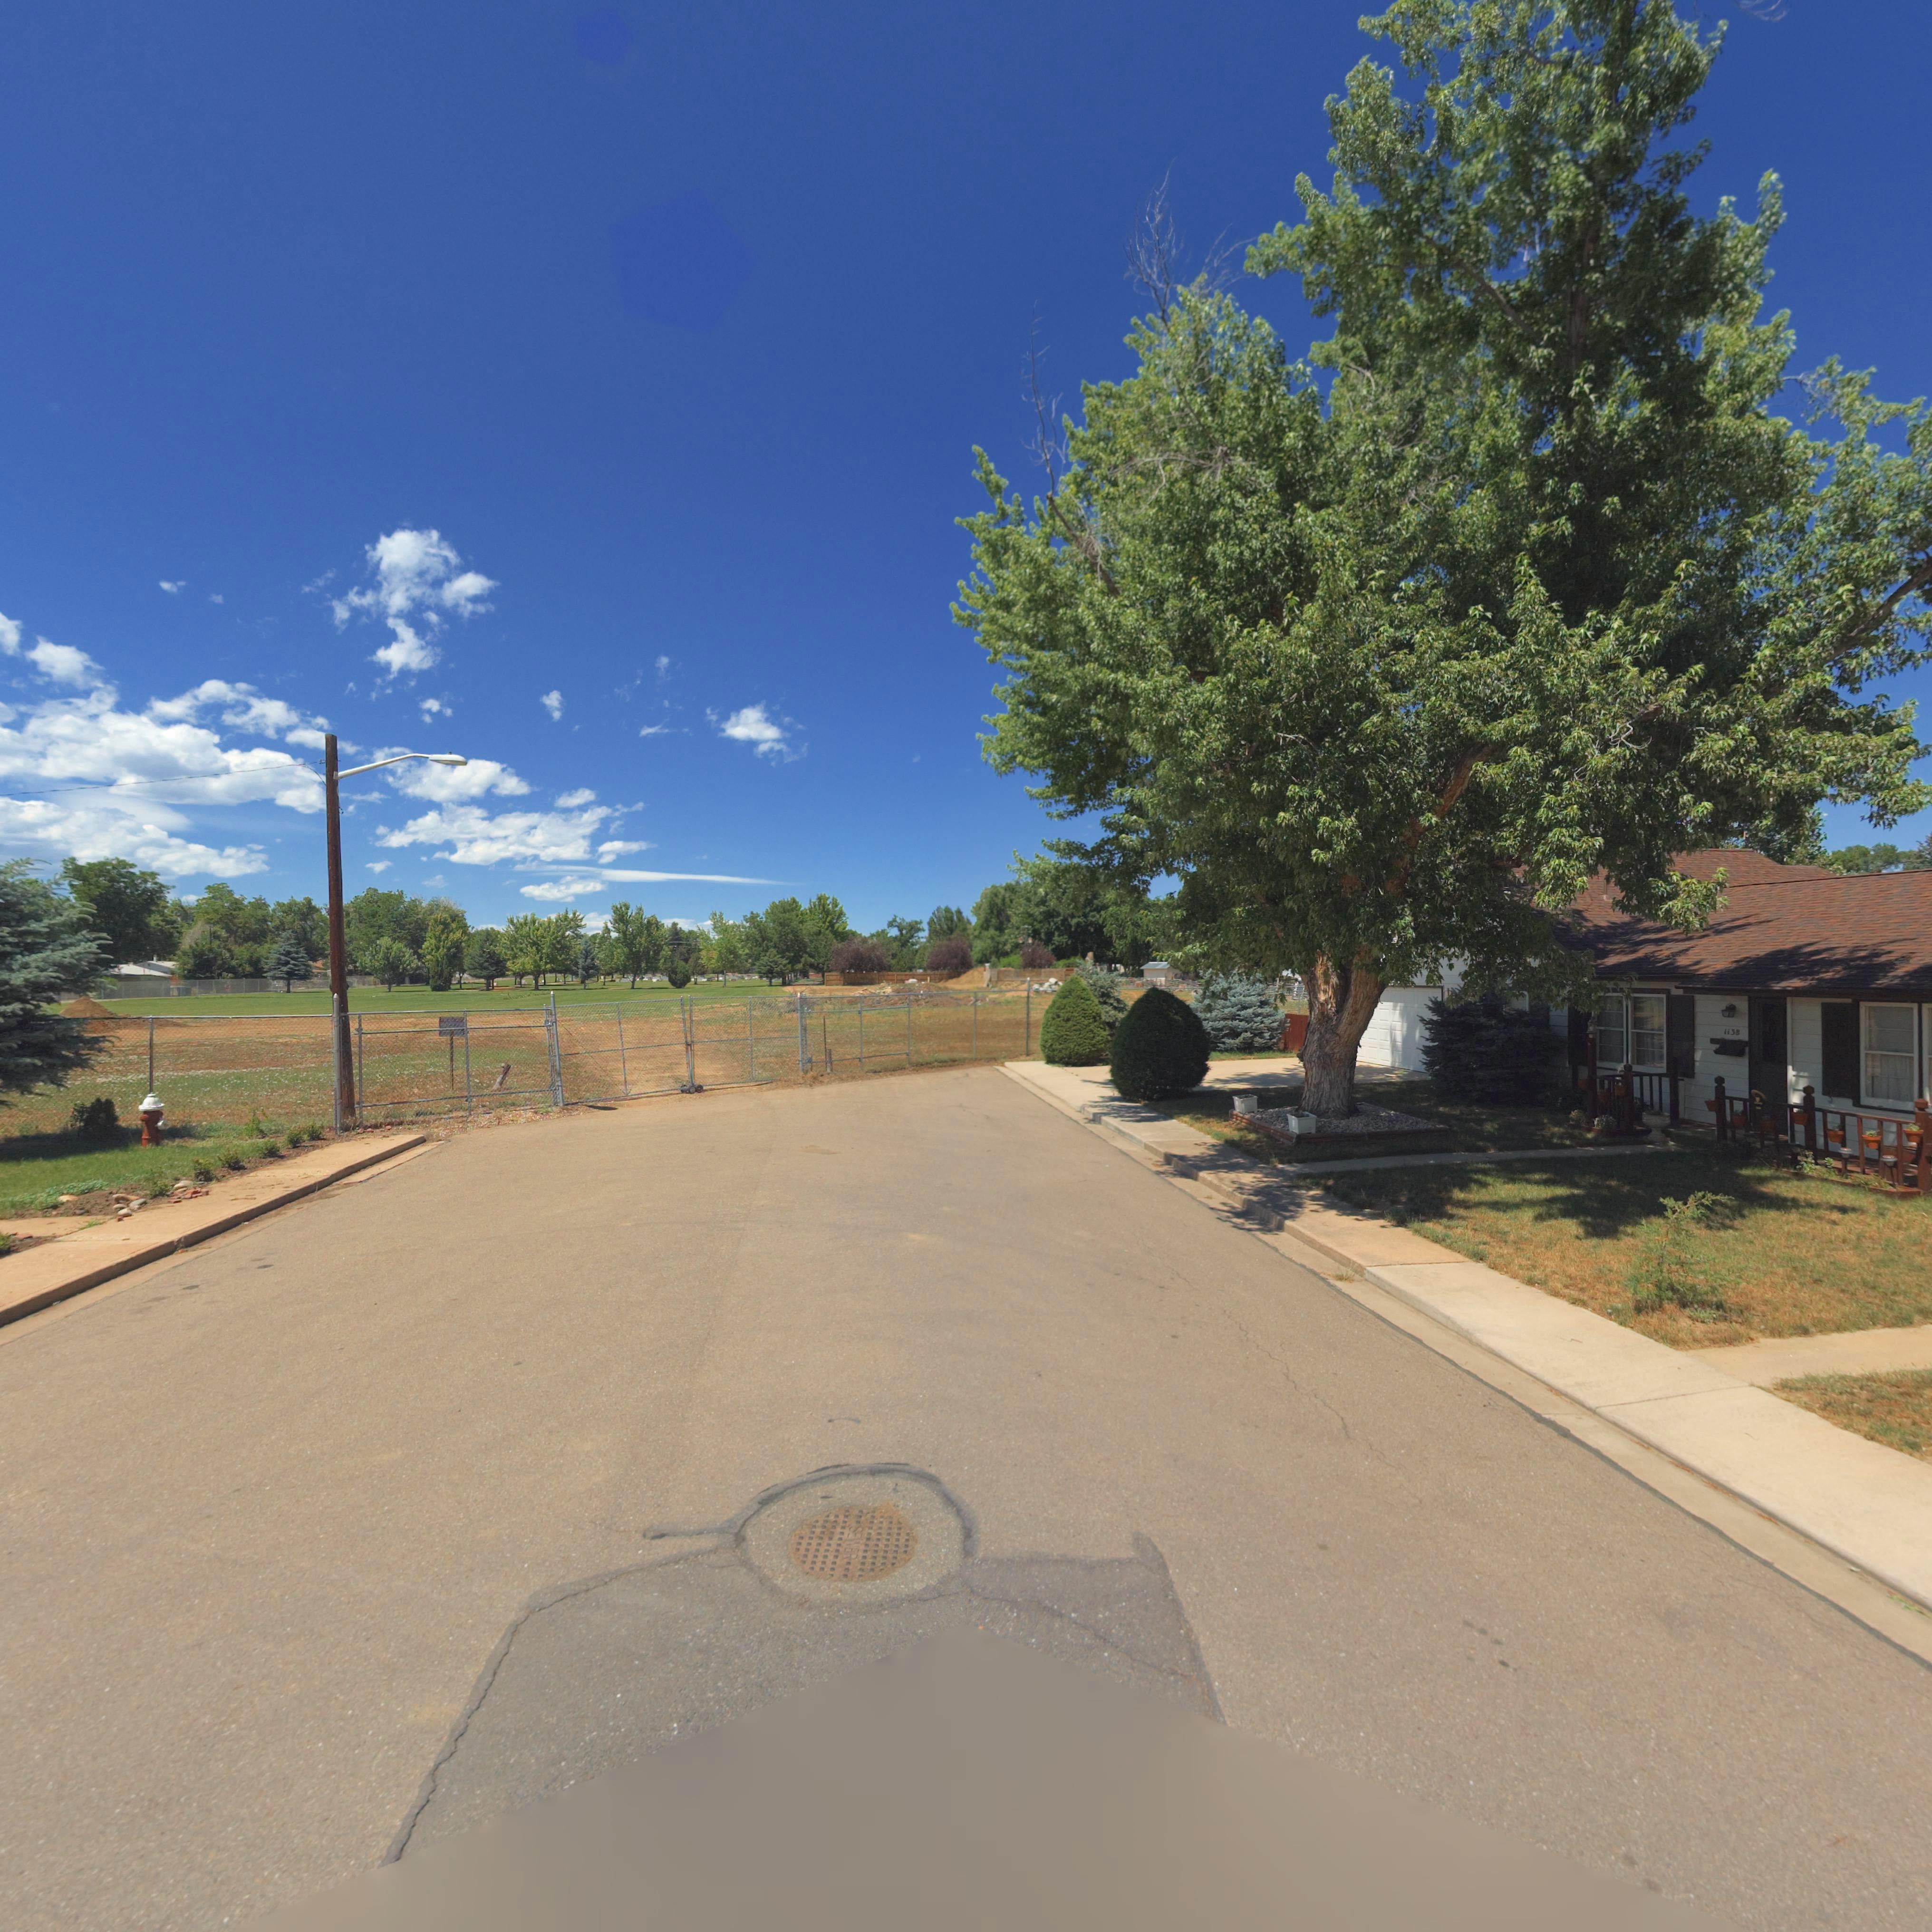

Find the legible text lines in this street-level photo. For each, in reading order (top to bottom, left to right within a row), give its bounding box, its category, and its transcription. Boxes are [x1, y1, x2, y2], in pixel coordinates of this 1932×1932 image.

[1724, 1028, 1740, 1036] StreetNumber: 1138